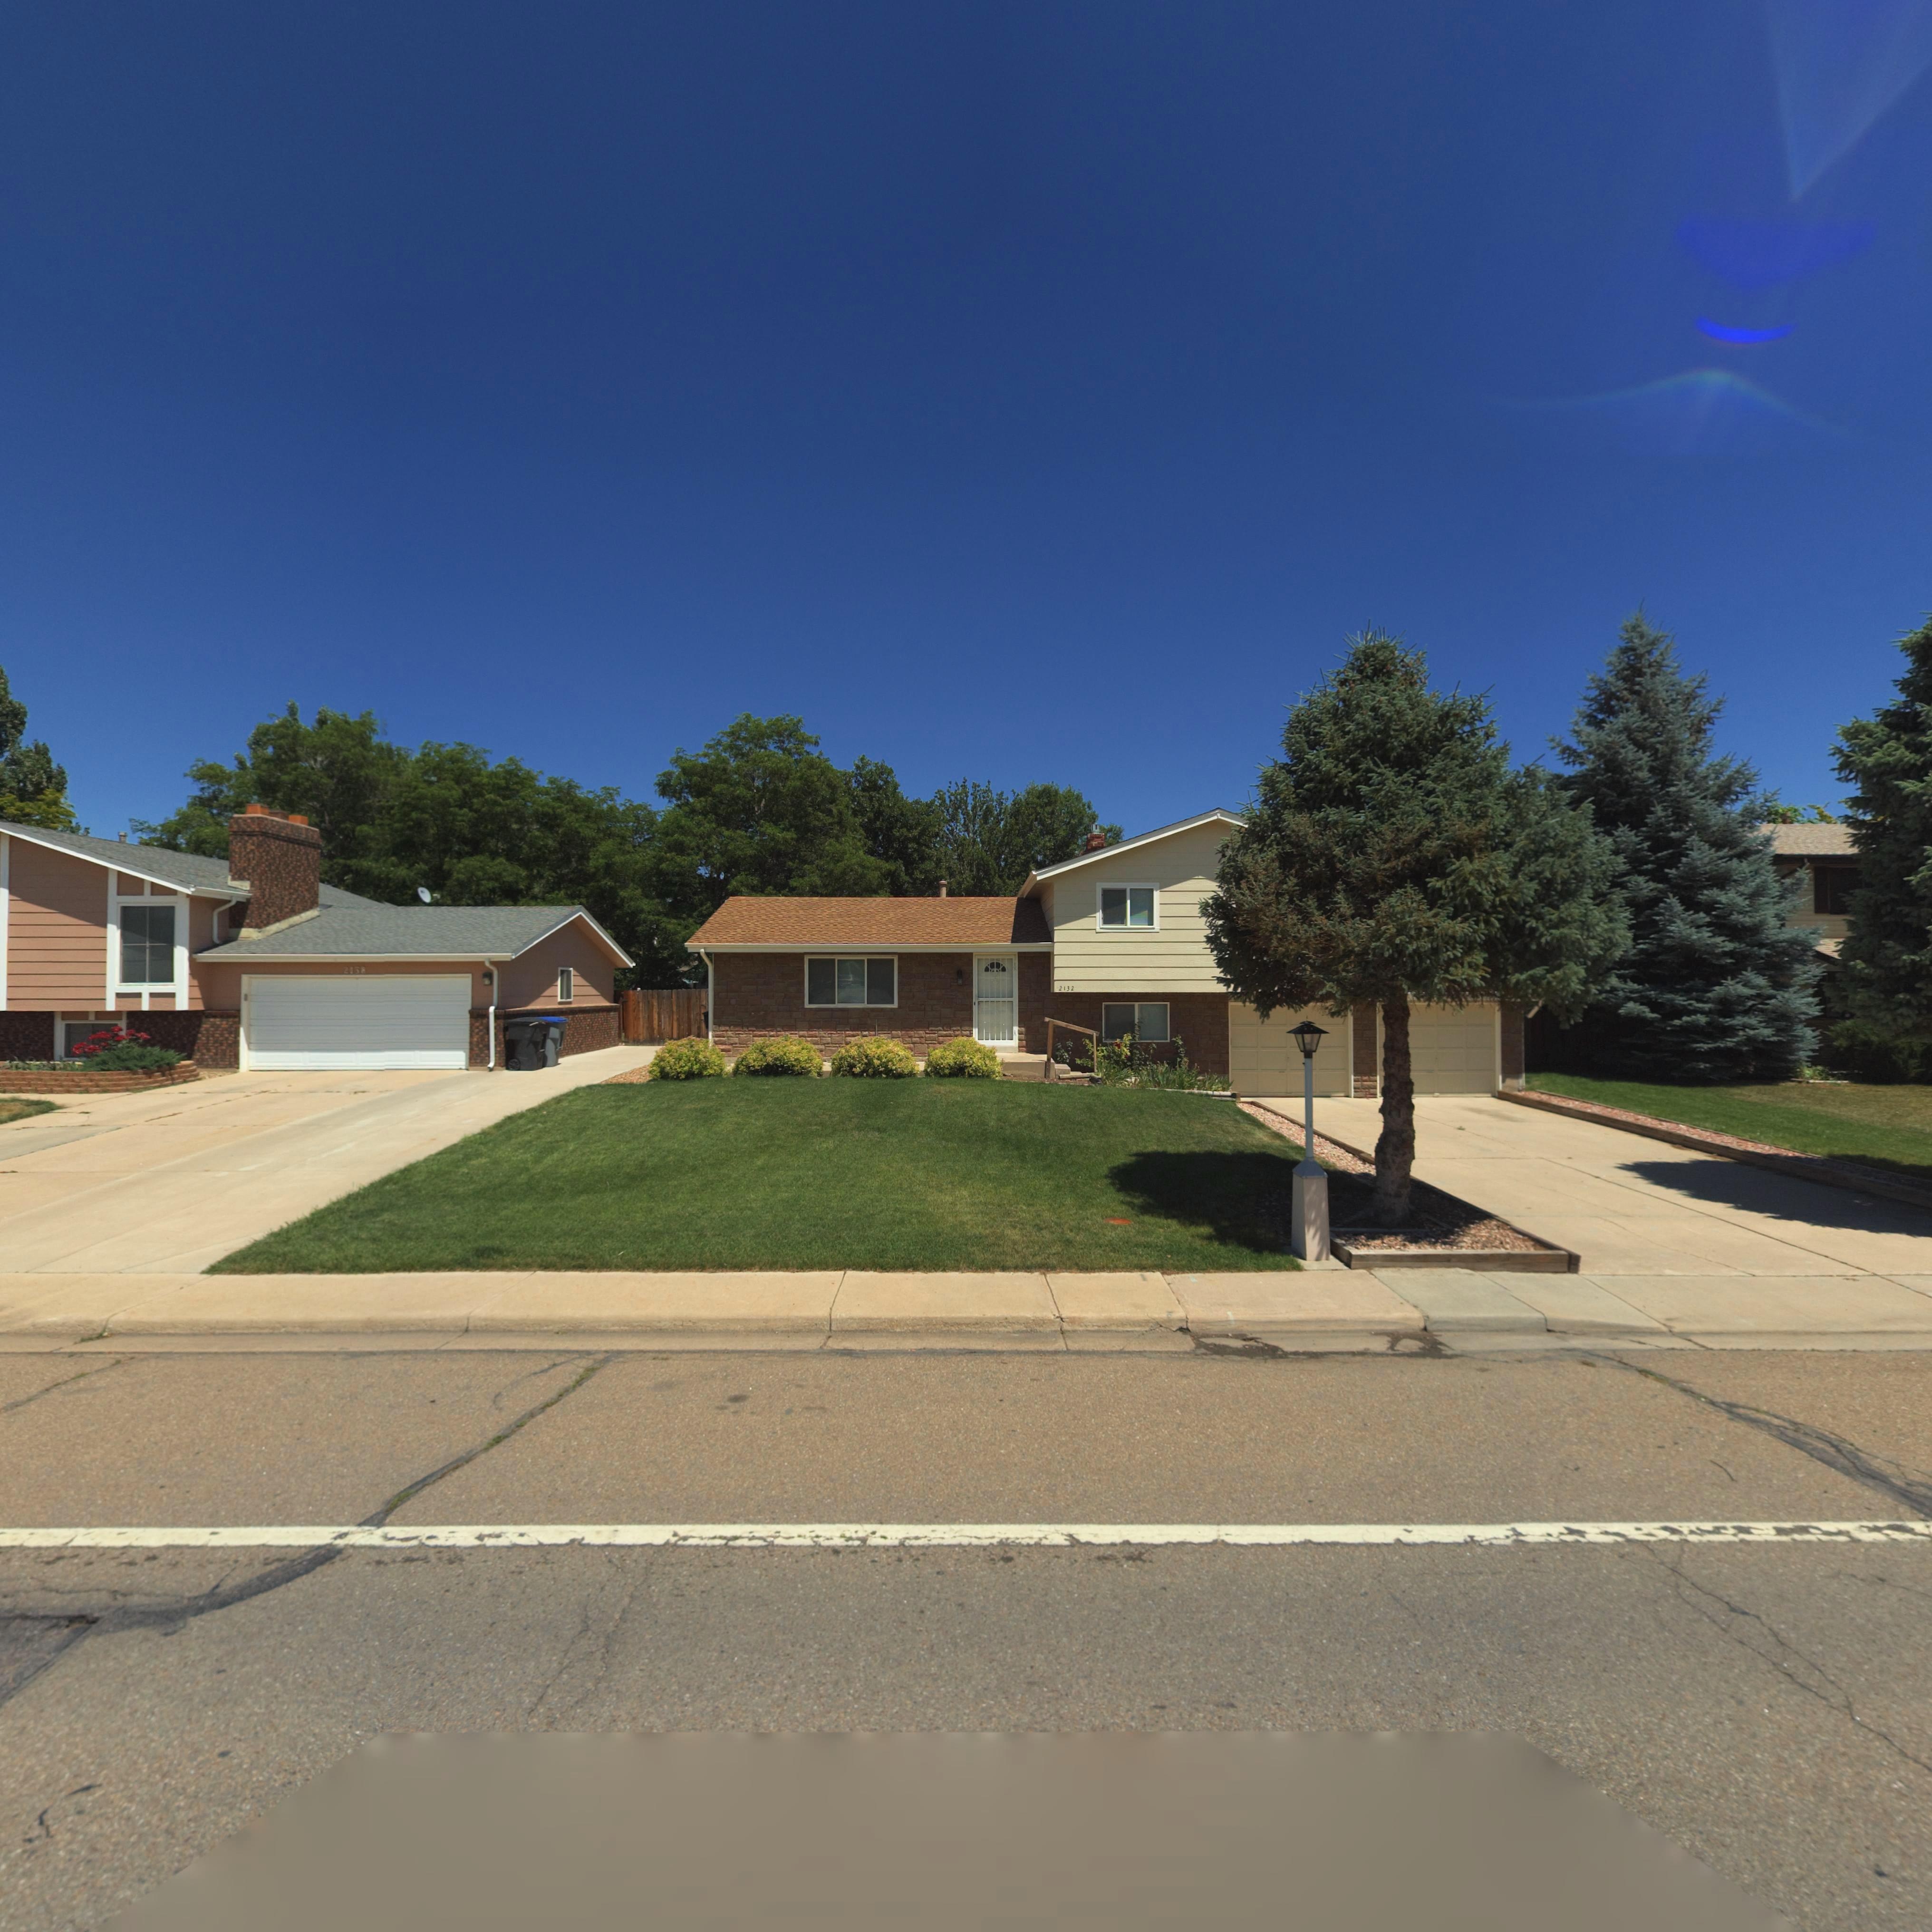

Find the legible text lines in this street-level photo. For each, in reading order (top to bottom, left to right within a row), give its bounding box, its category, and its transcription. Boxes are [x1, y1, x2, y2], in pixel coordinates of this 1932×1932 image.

[343, 966, 366, 974] StreetNumber: 2138
[1058, 985, 1074, 991] StreetNumber: 2132